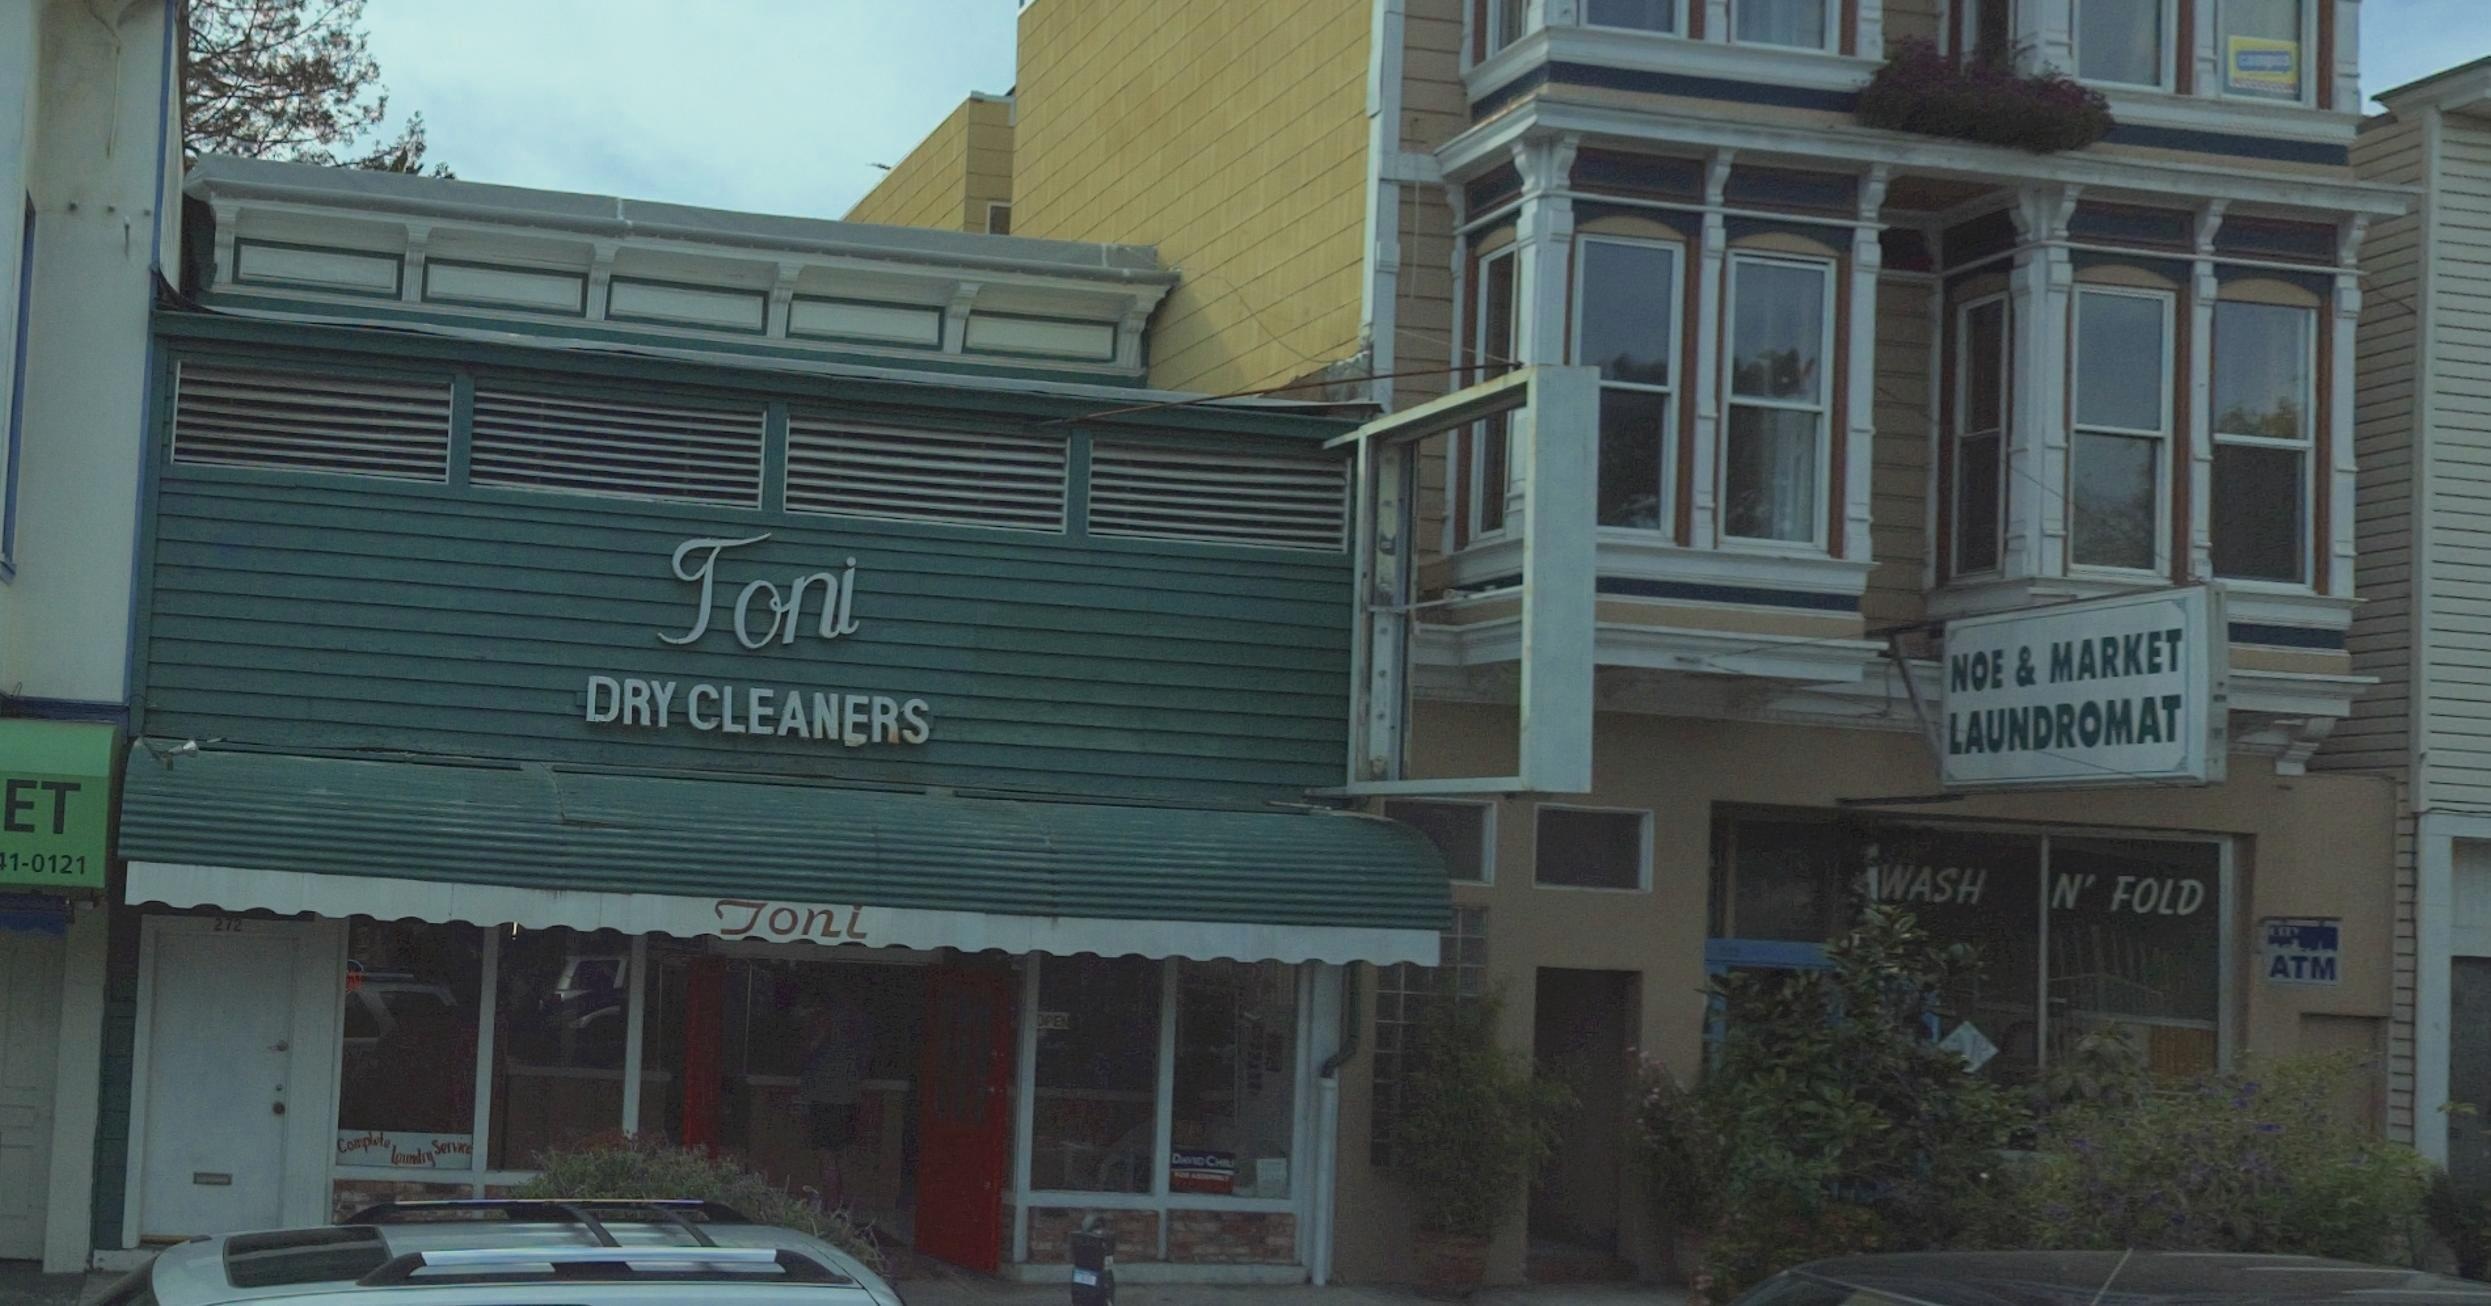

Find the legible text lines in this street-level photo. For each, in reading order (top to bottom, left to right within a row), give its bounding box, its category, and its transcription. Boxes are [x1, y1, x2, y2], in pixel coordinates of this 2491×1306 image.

[650, 528, 864, 655] BusinessName: Toni
[1947, 624, 2185, 697] BusinessName: NOE & MARKET
[584, 671, 934, 750] BusinessName: DRY CLEANERS
[1945, 689, 2186, 758] BusinessName: LAUNDROMAT
[2, 775, 85, 838] BusinessName: ET
[7, 849, 88, 877] None: 1-0121
[1875, 857, 1996, 910] None: WASH
[2044, 864, 2210, 920] None: N' FOLD
[211, 915, 245, 934] StreetNumber: 272
[709, 897, 873, 943] BusinessName: Toni
[2264, 951, 2340, 984] None: ATM
[1043, 1012, 1065, 1030] None: PE
[333, 1128, 478, 1173] None: Complete Loundry Service
[1170, 1151, 1185, 1168] None: D
[1202, 1153, 1218, 1169] None: C